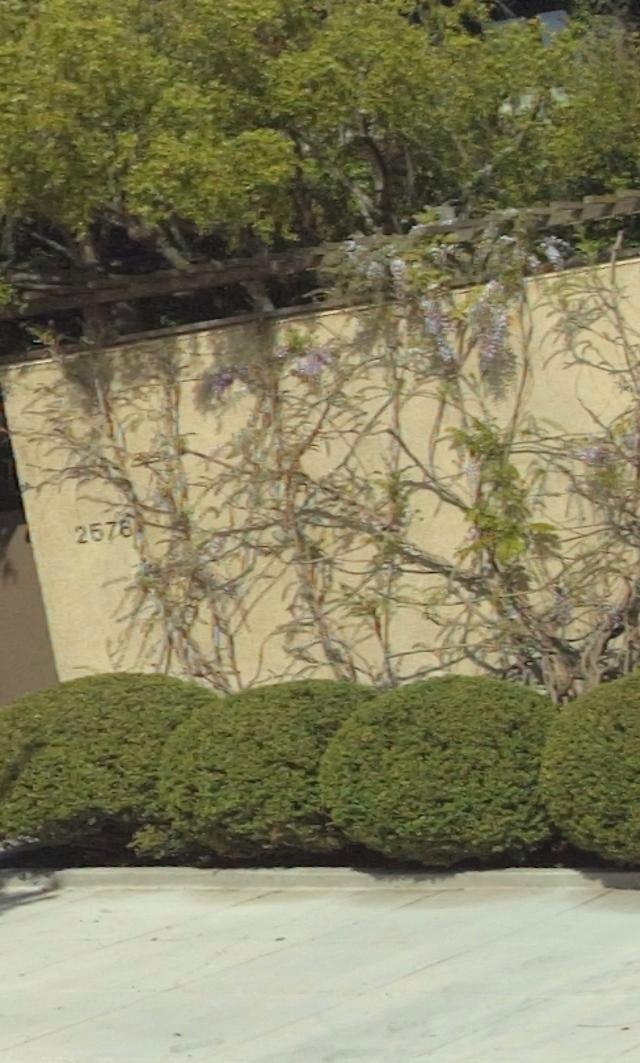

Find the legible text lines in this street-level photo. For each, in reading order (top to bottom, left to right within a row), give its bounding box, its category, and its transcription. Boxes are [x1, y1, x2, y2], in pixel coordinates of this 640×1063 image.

[70, 512, 137, 550] StreetNumber: 257*